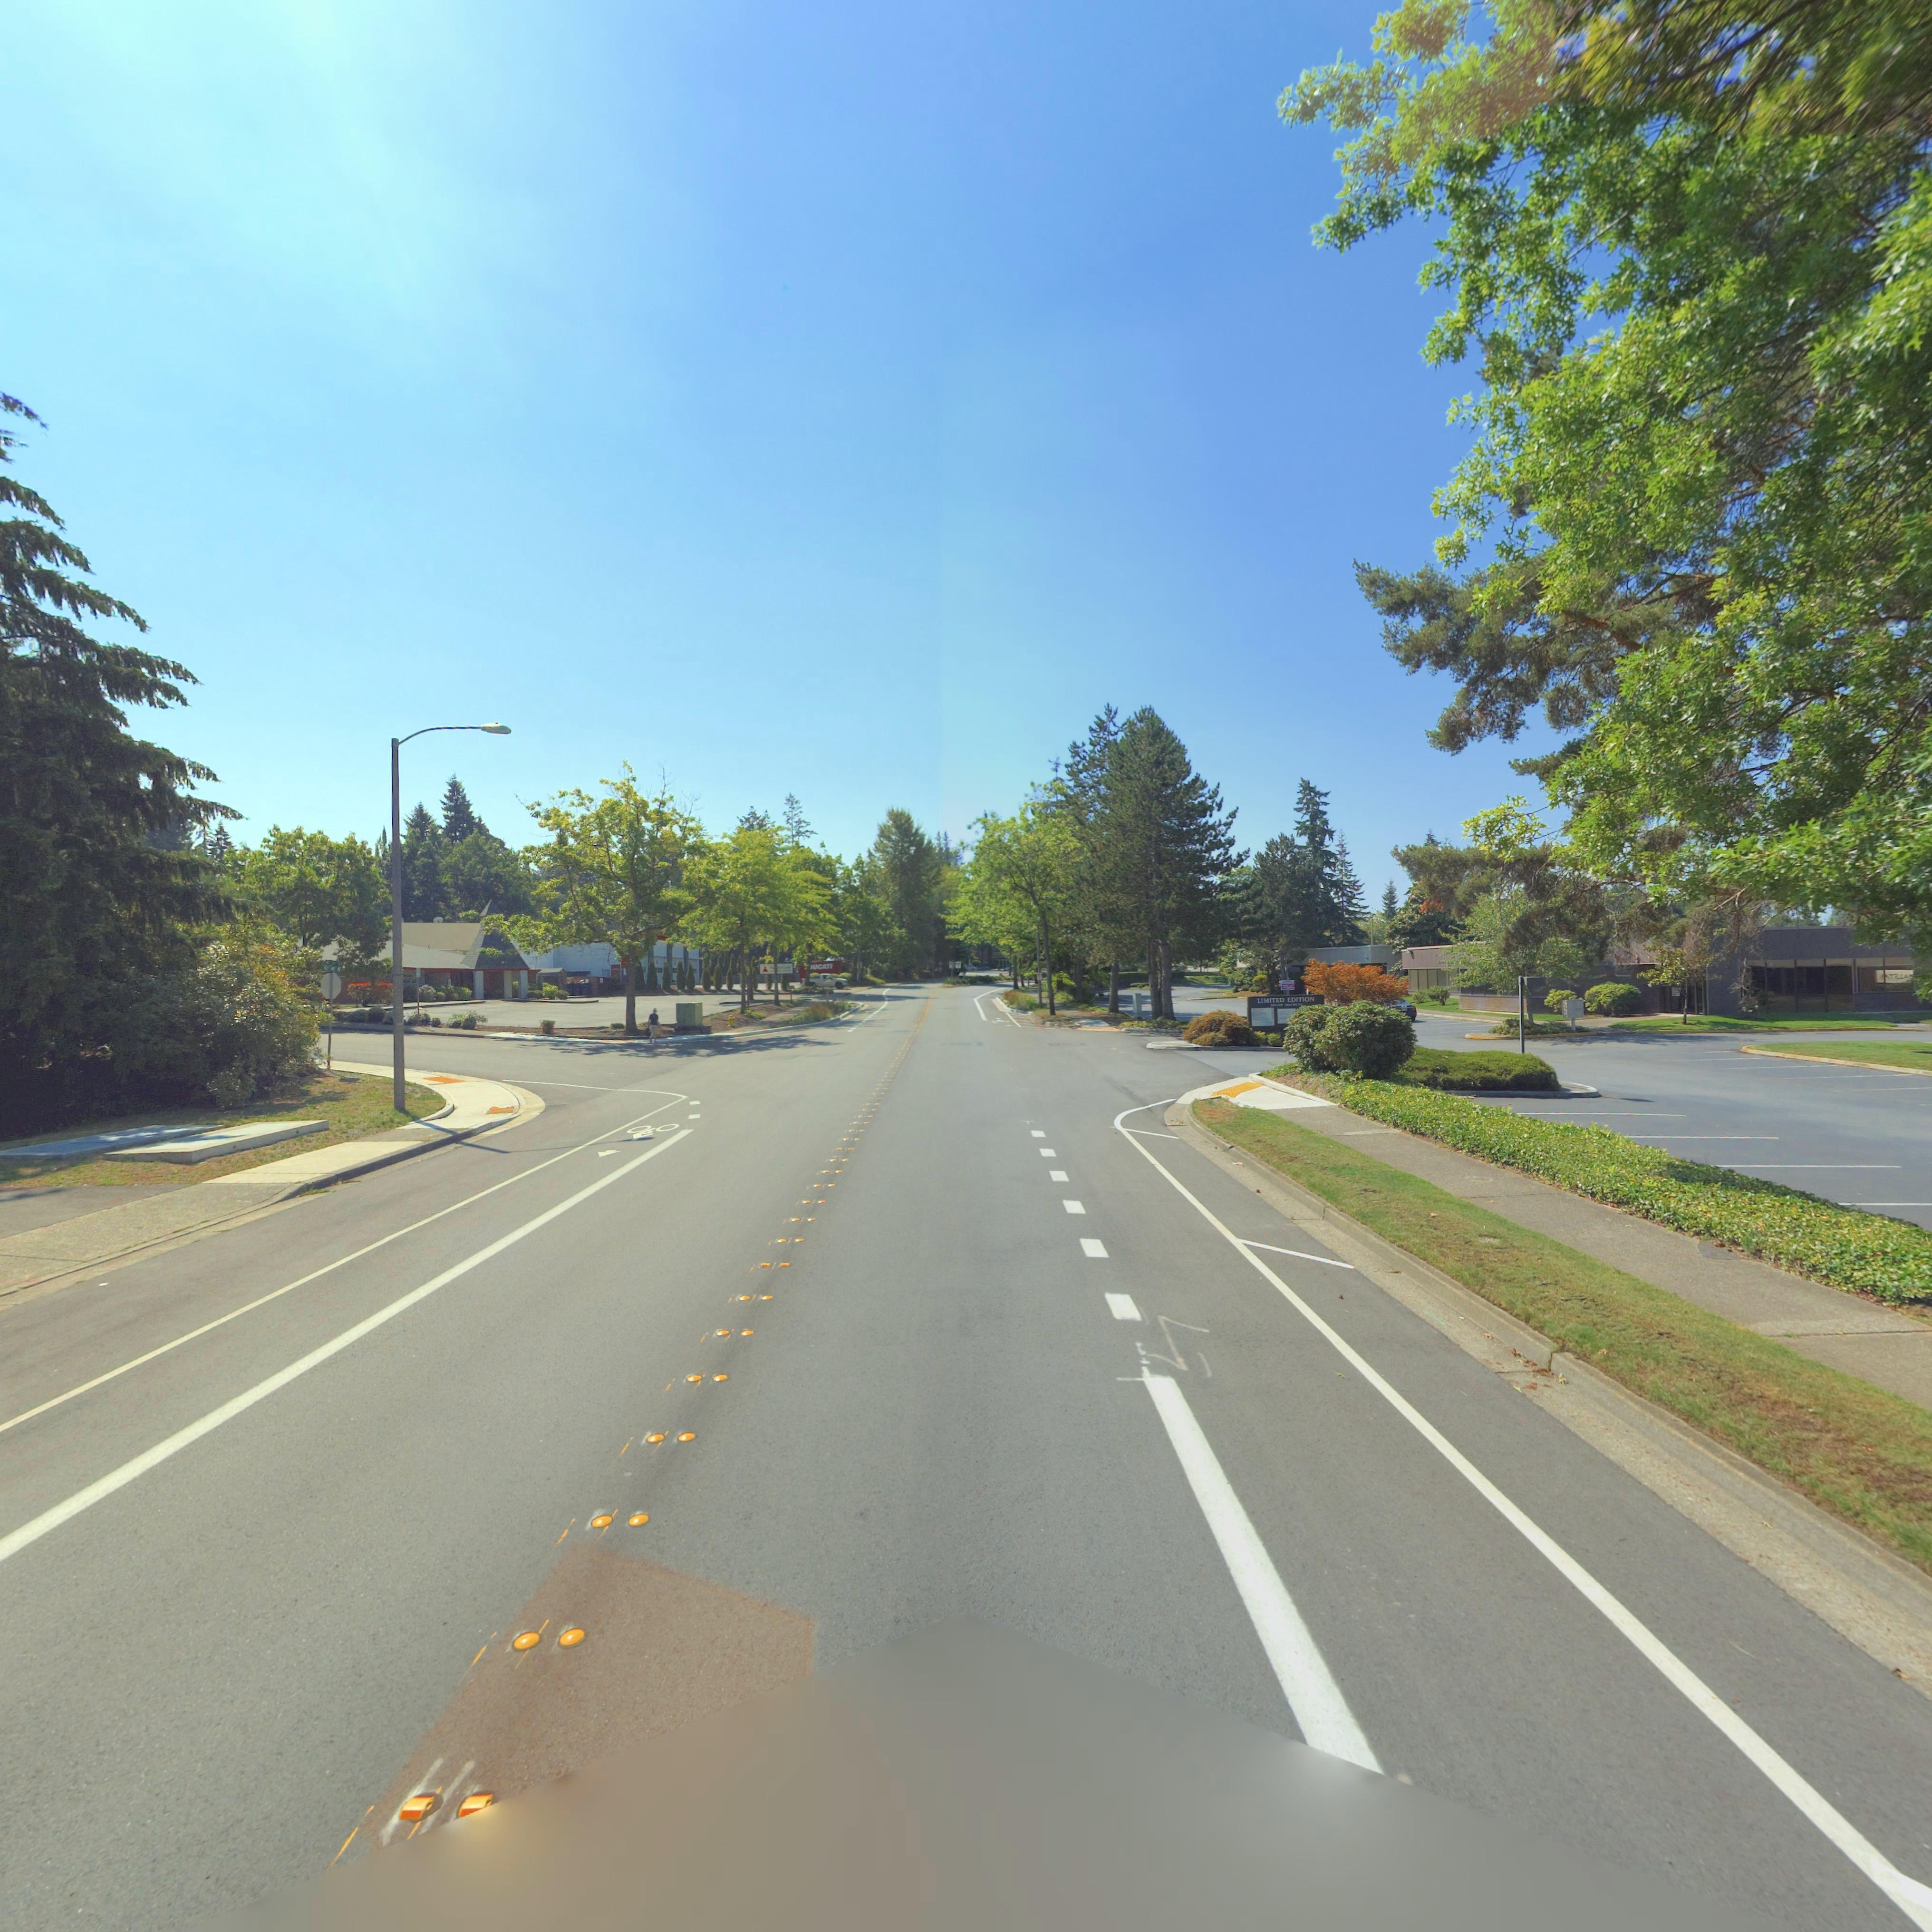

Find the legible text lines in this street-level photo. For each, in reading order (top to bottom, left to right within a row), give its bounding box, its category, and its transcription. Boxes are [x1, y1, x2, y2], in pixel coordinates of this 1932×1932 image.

[808, 963, 833, 970] BusinessName: *UCATI
[409, 977, 416, 983] BusinessName: Care